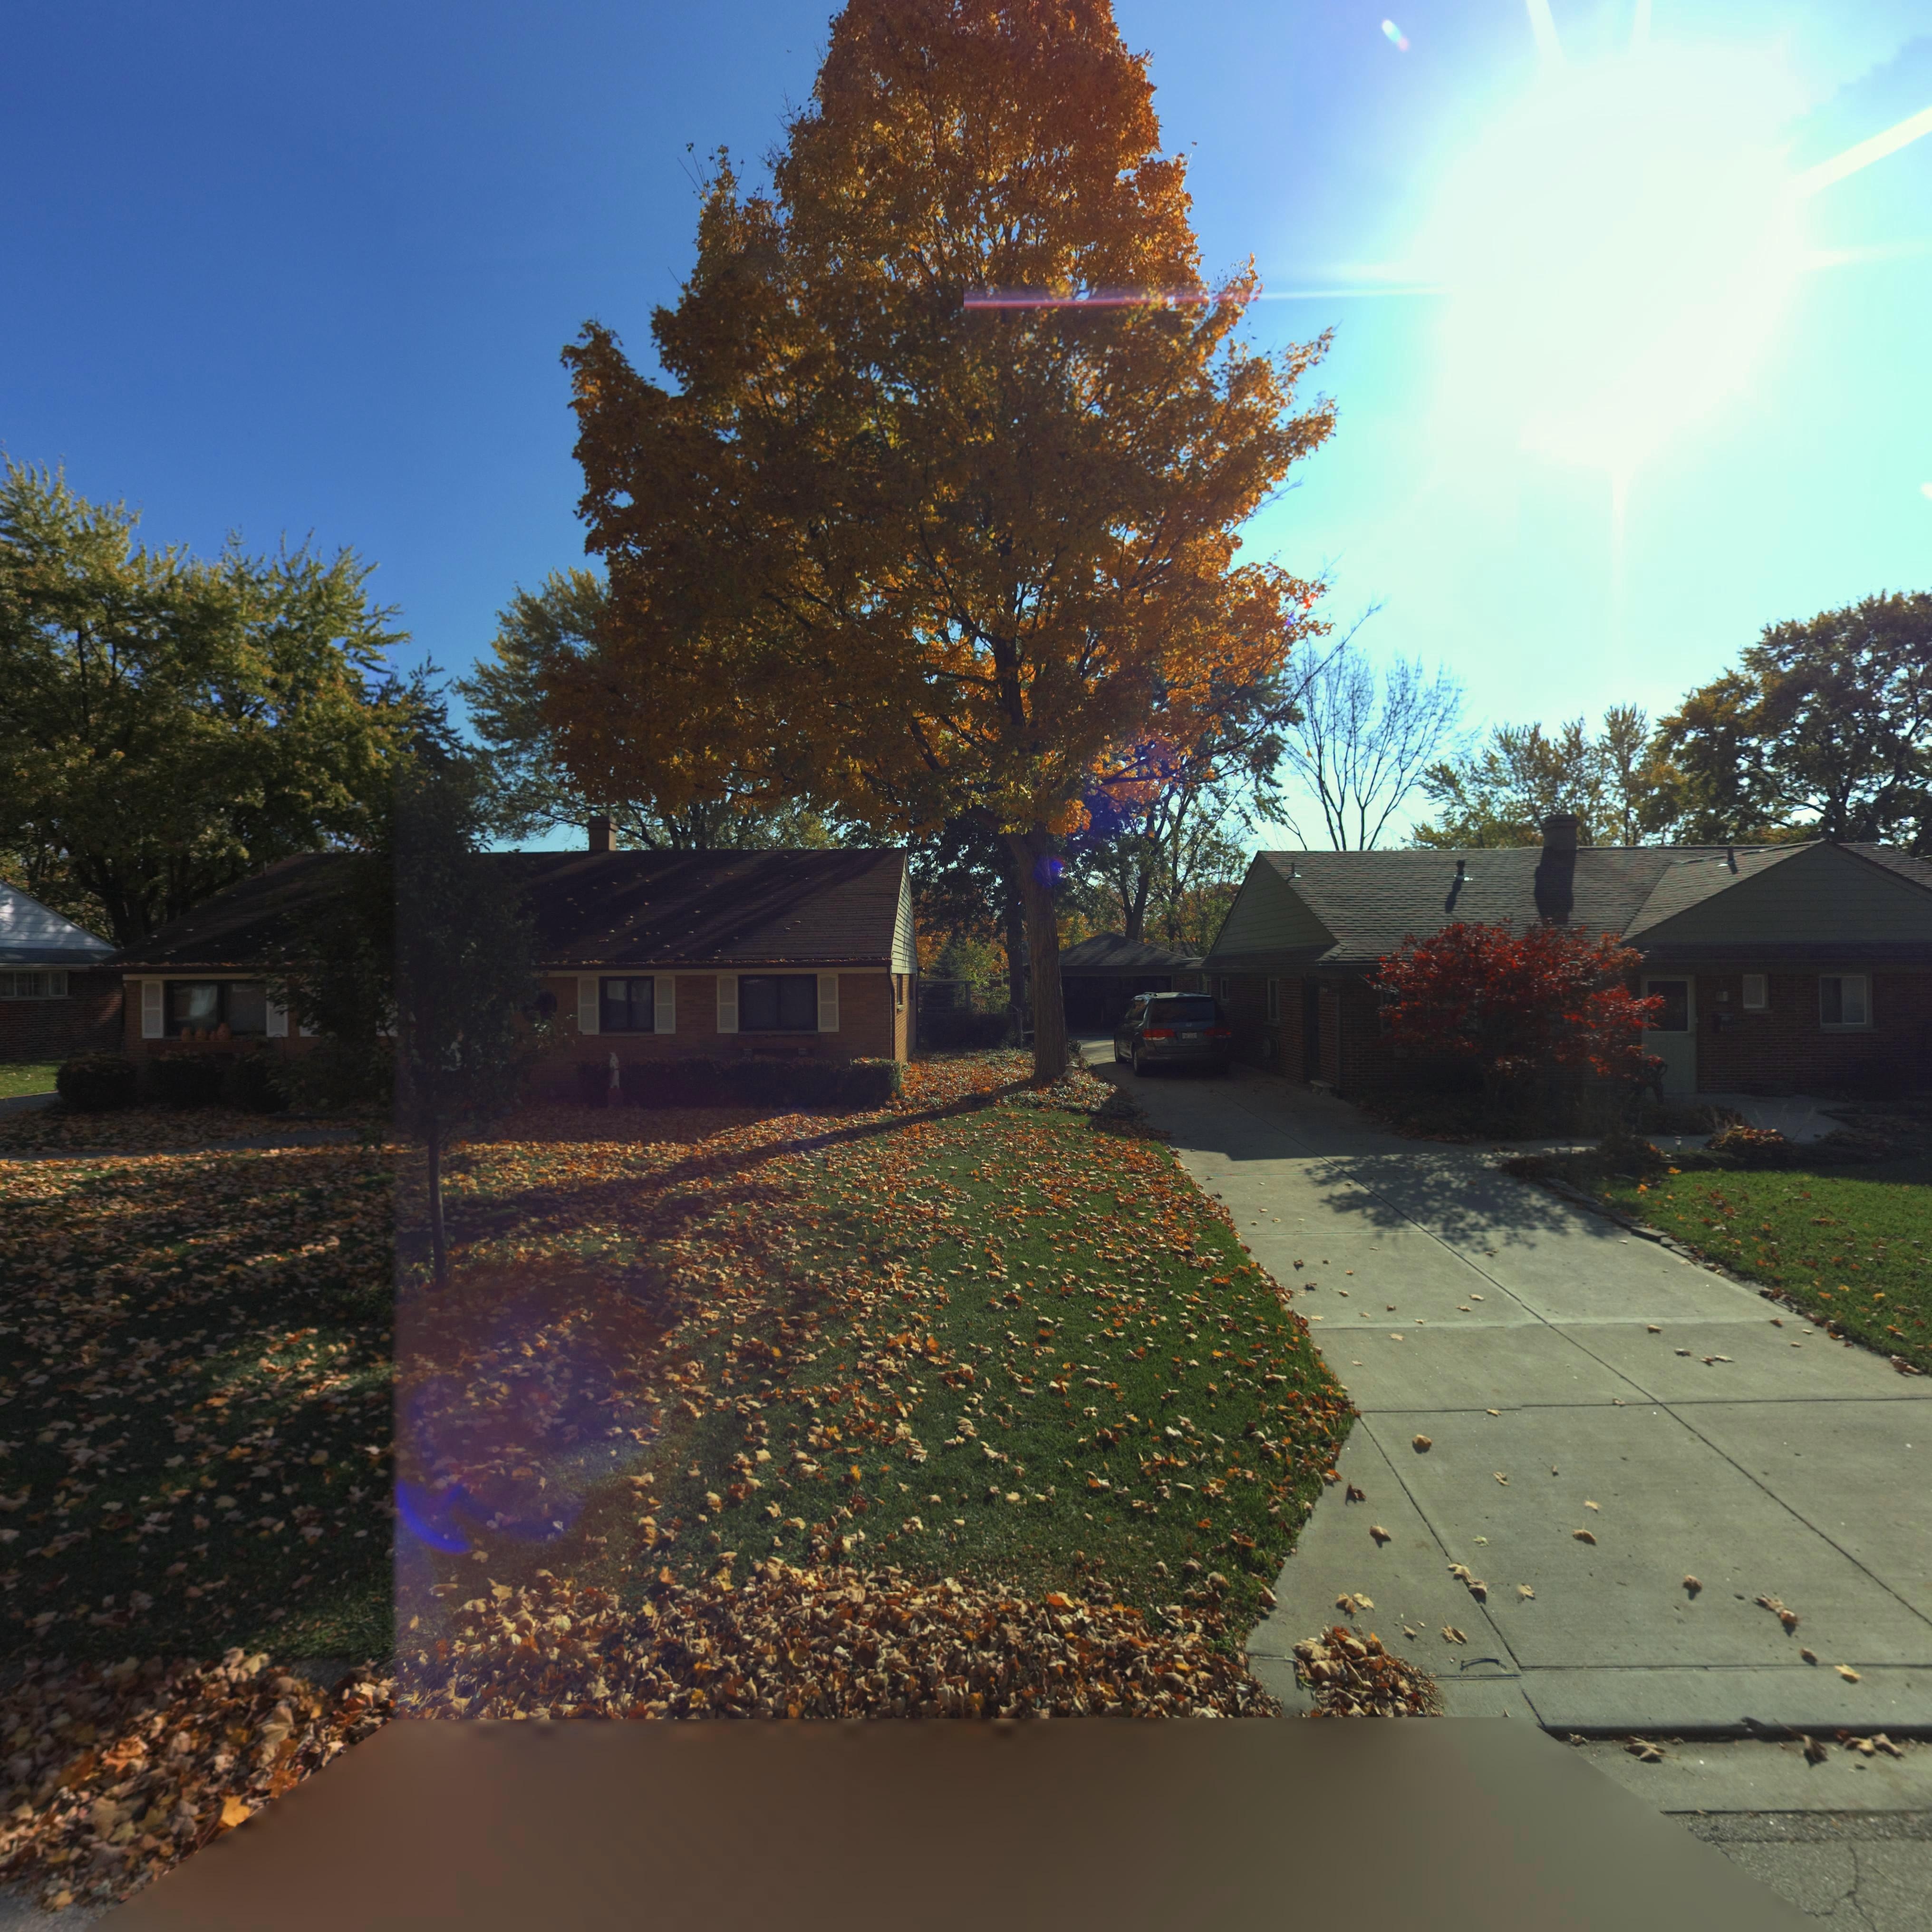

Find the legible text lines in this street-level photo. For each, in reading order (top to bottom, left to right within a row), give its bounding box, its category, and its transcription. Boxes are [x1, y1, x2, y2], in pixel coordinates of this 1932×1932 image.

[1719, 1024, 1733, 1033] StreetNumber: 6**
[1192, 1034, 1195, 1038] None: 4